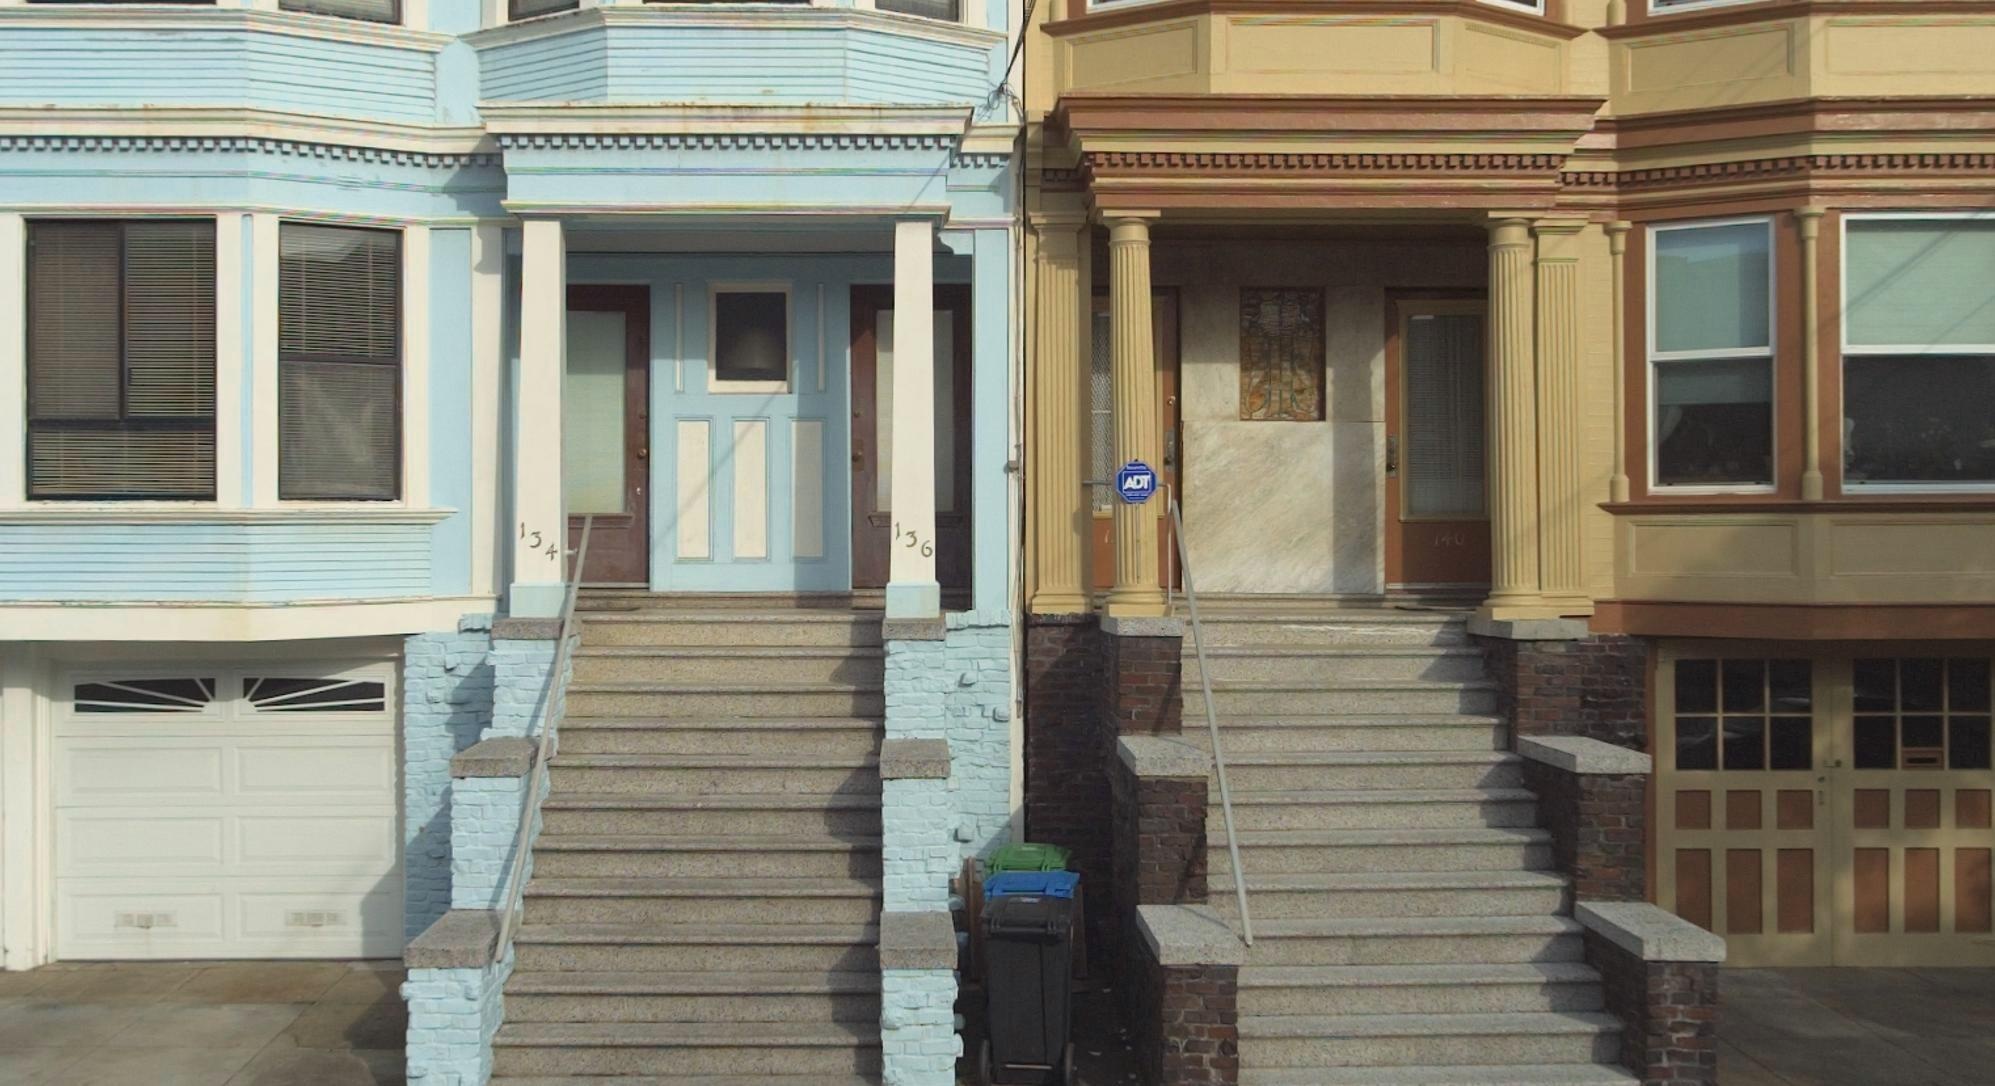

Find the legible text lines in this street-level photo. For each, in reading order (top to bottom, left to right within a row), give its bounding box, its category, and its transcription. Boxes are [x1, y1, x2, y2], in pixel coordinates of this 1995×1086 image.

[1122, 474, 1151, 490] None: ADT
[519, 518, 560, 565] StreetNumber: 134
[895, 518, 933, 561] StreetNumber: 136
[1103, 528, 1129, 545] StreetNumber: 1**
[1433, 530, 1466, 547] StreetNumber: 140